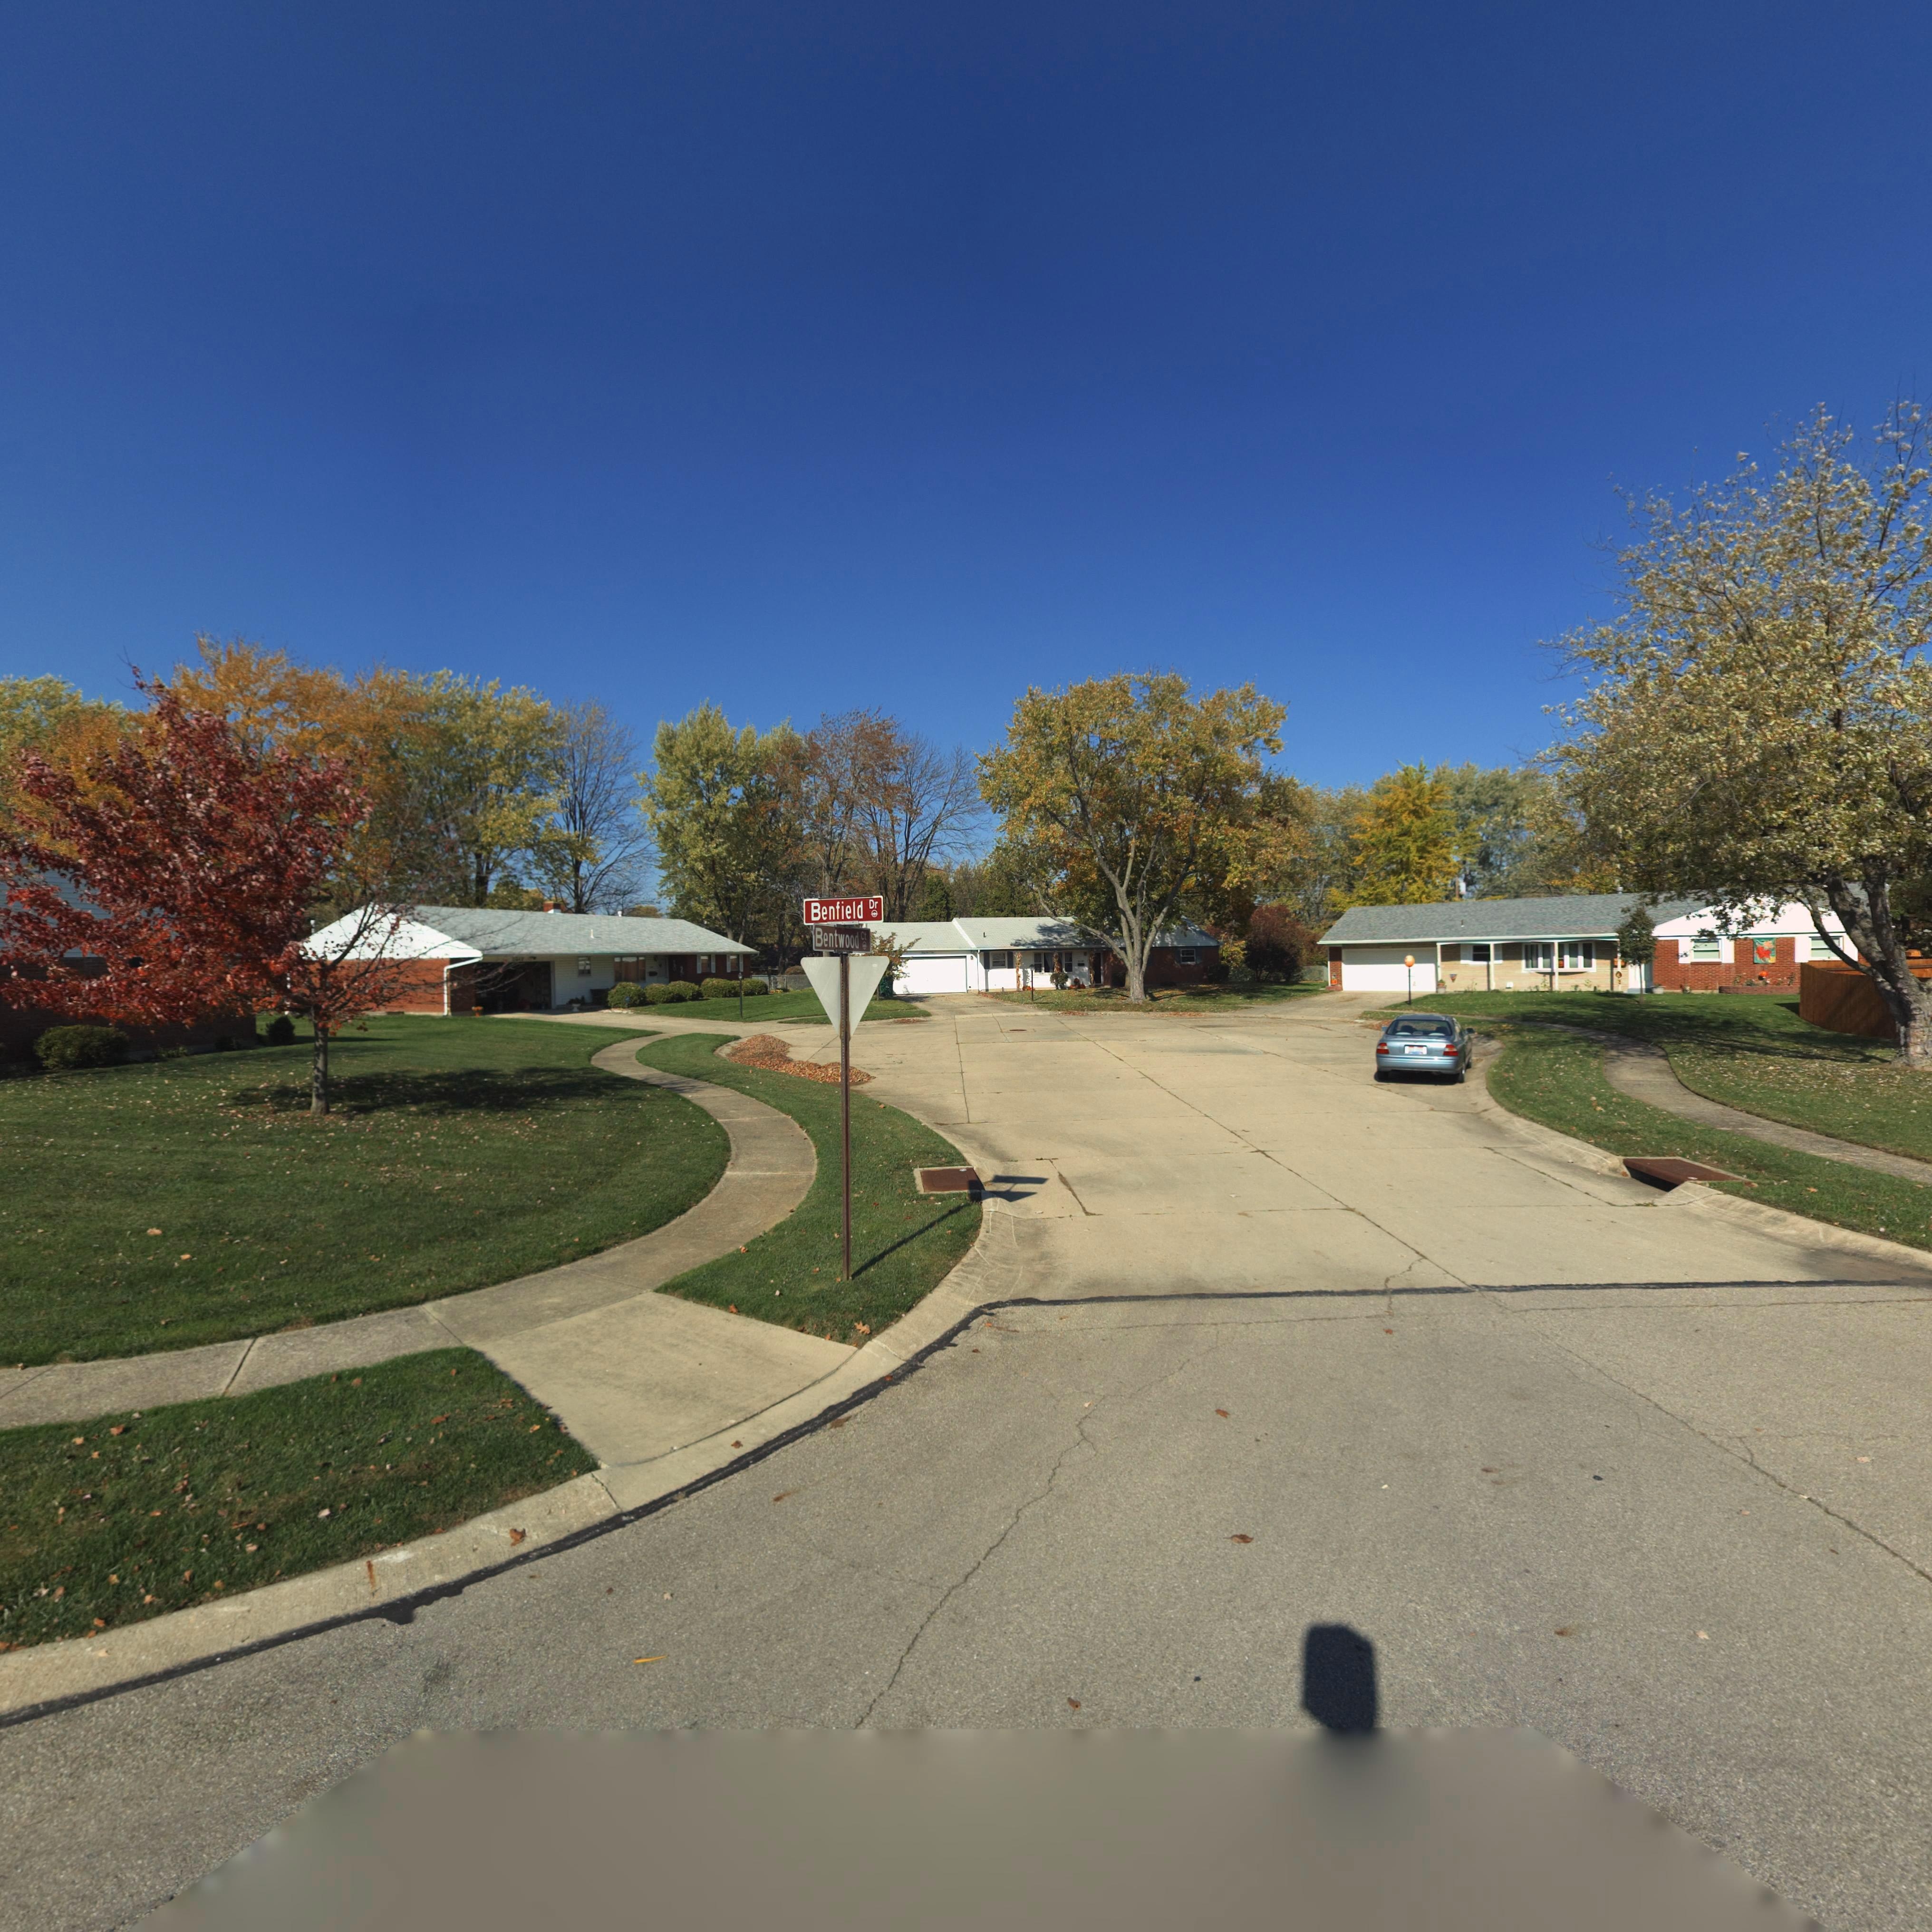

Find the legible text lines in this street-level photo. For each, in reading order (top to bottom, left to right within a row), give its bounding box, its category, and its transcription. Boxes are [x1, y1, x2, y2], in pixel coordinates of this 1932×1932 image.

[811, 898, 880, 922] StreetName: Benfield Dr
[814, 926, 868, 949] StreetName: Bentwood Ct